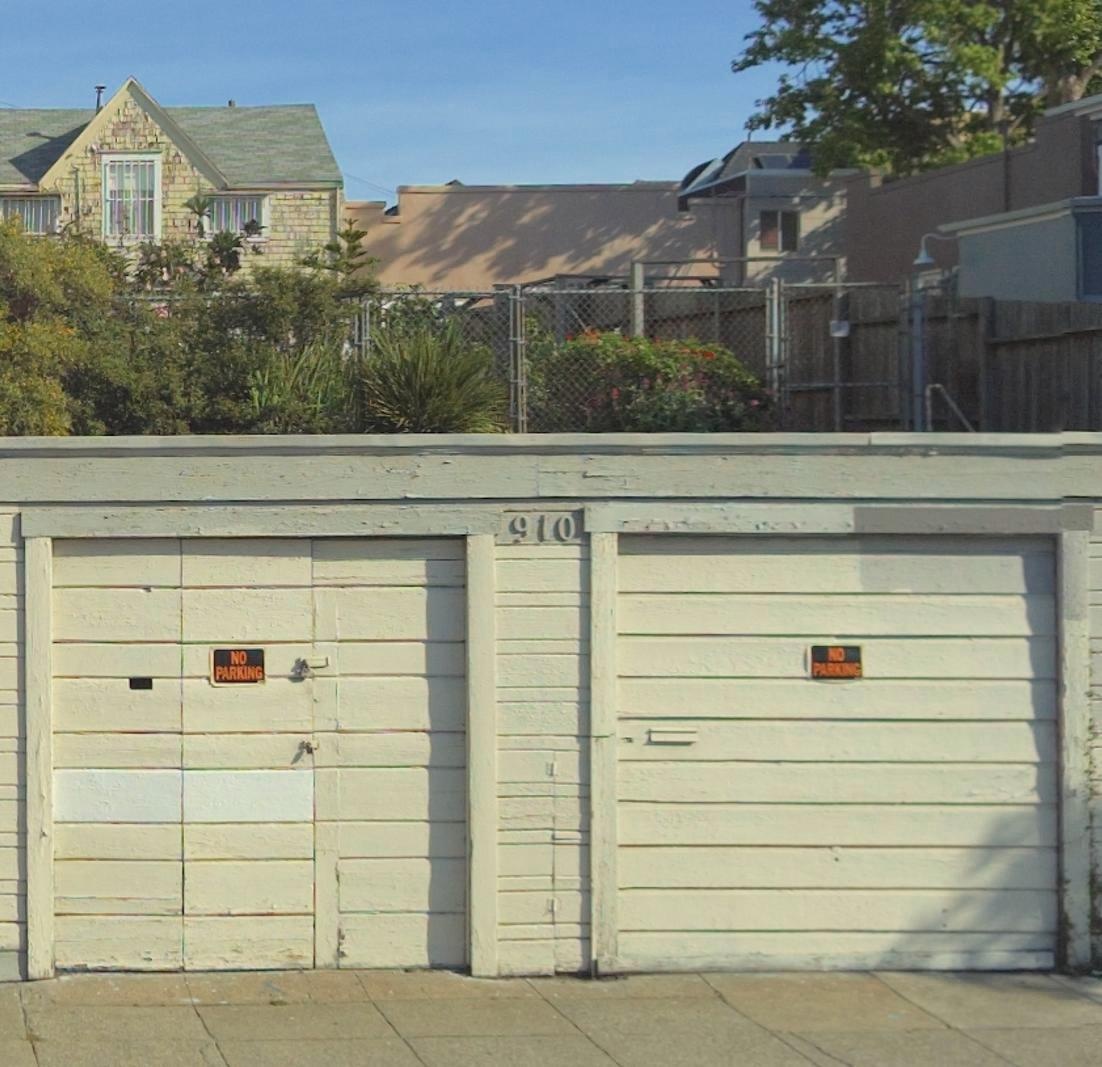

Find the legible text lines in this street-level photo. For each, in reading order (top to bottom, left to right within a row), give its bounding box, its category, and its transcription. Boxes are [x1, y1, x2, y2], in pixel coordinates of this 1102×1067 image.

[511, 514, 578, 544] StreetNumber: 910
[228, 648, 246, 664] None: NO
[826, 645, 846, 662] None: NO
[214, 664, 262, 682] None: PARKING
[811, 661, 861, 678] None: PARKING